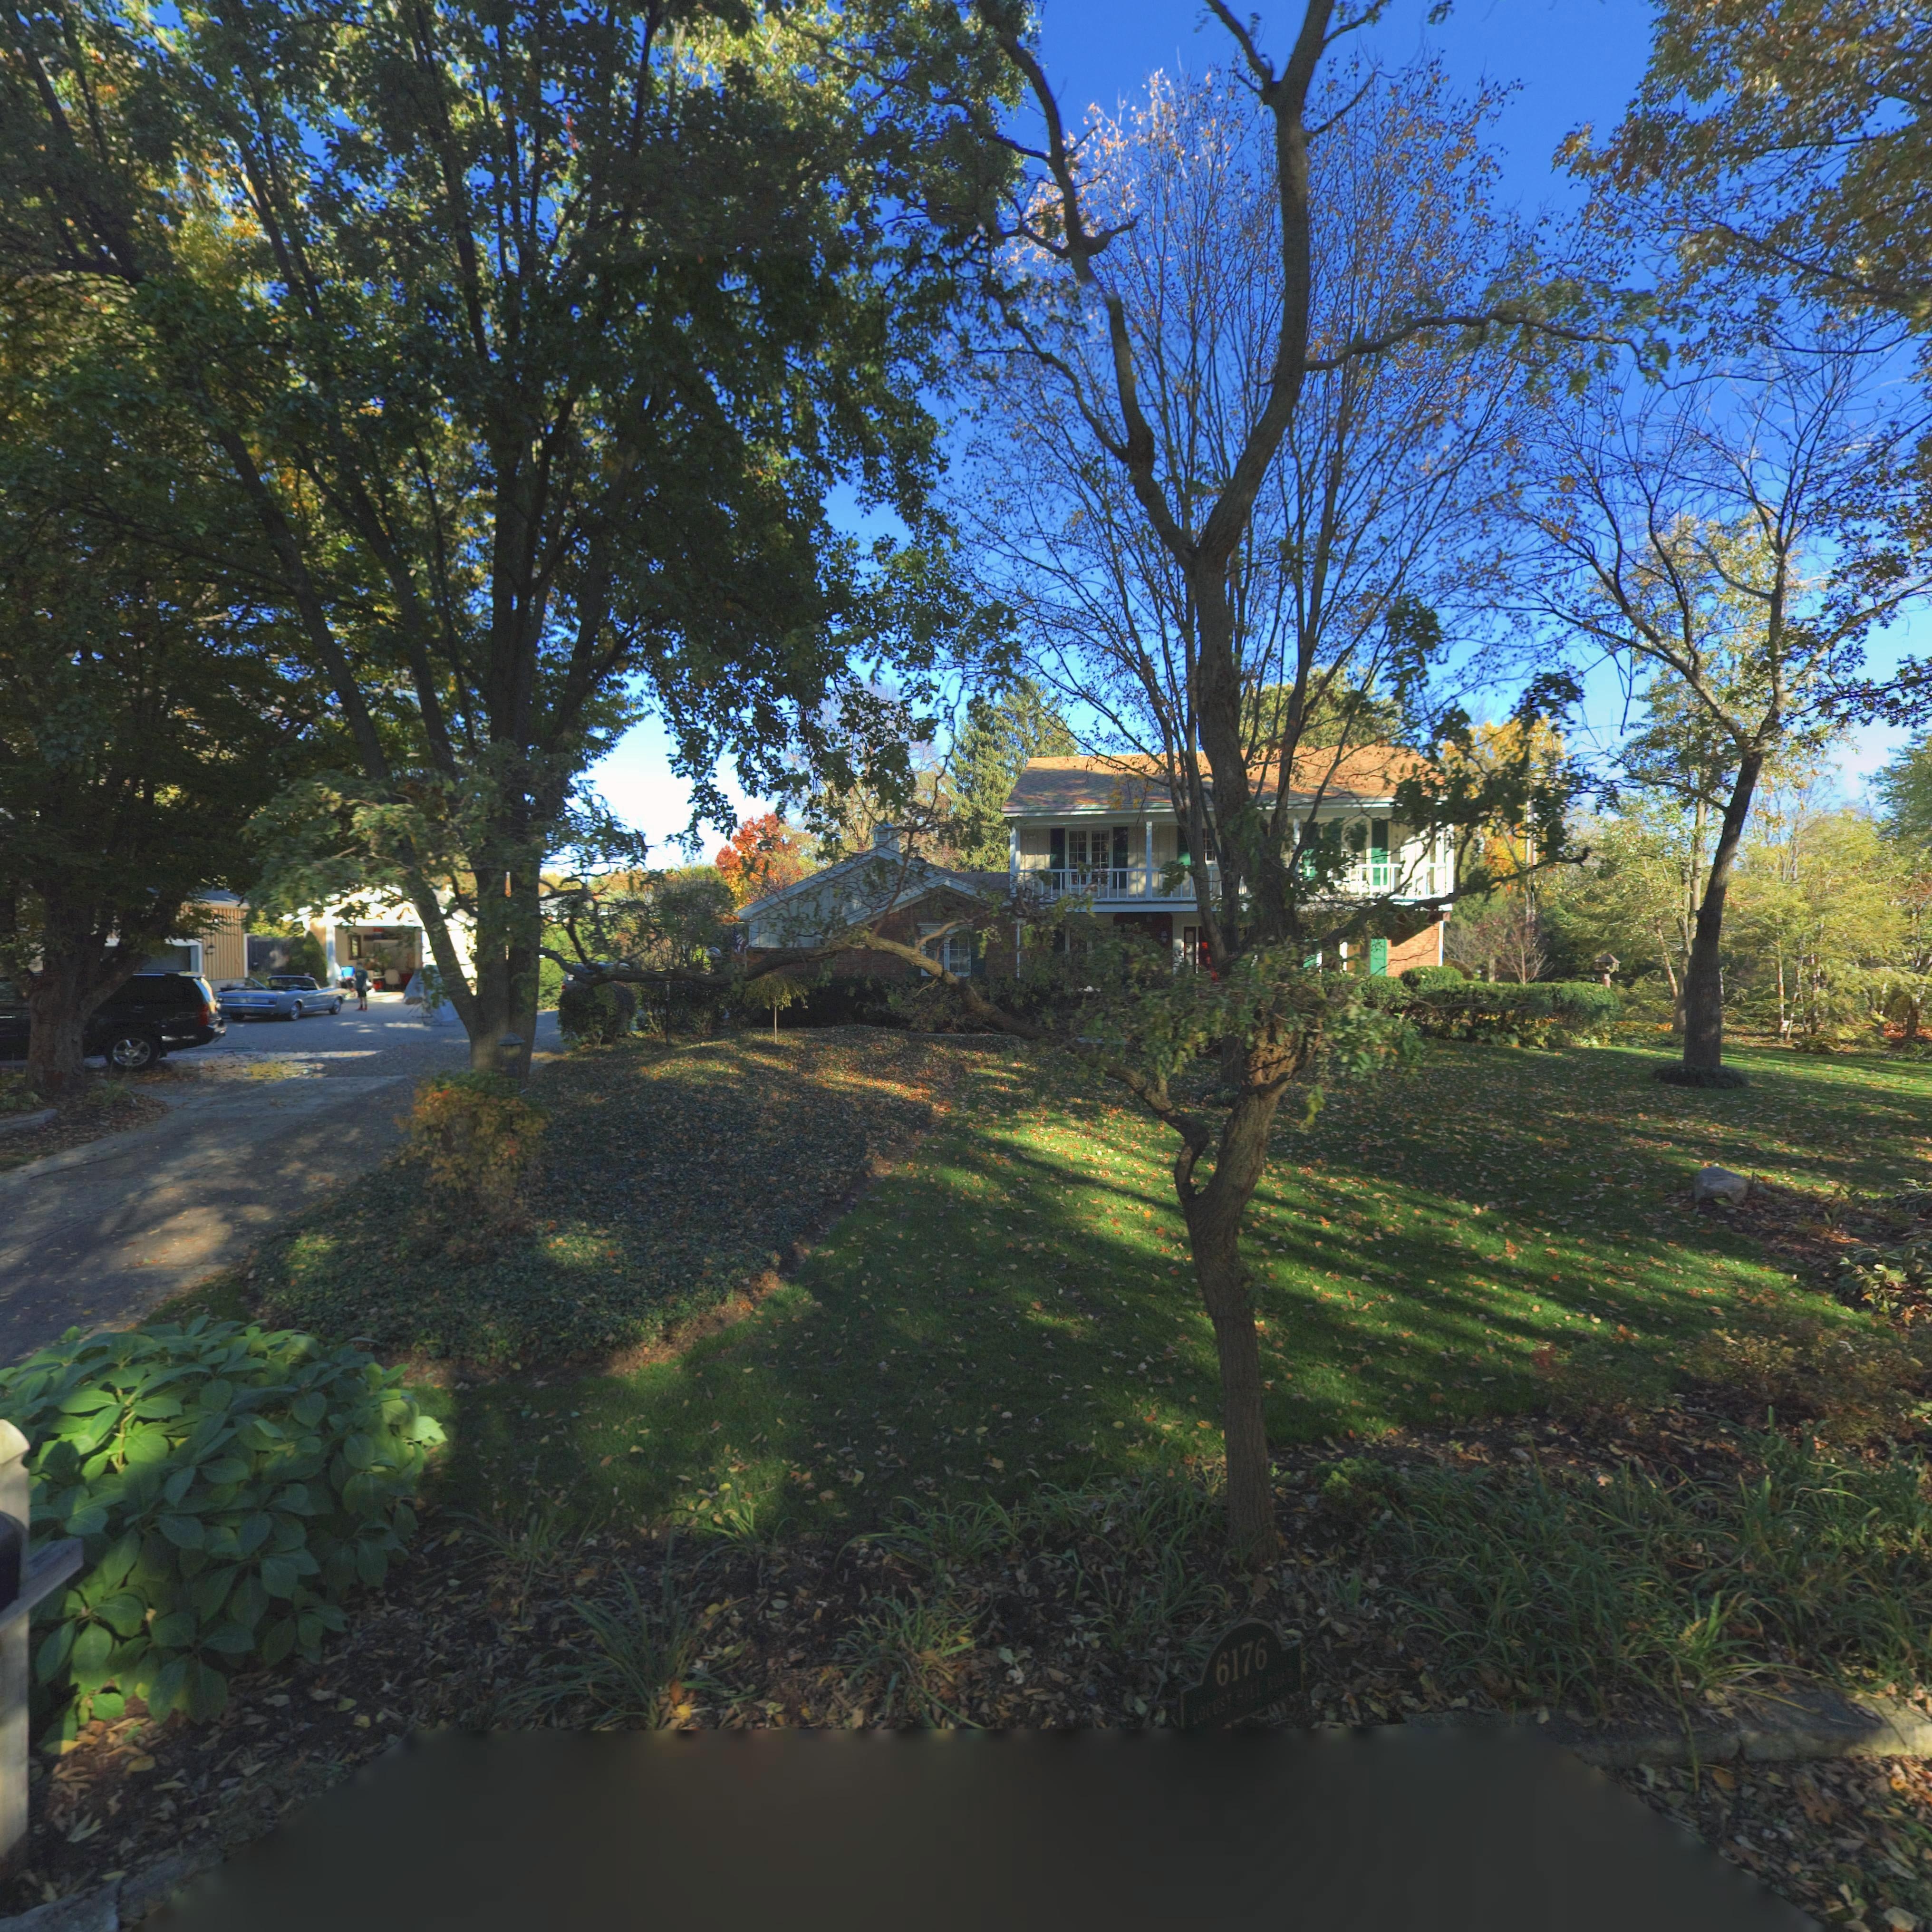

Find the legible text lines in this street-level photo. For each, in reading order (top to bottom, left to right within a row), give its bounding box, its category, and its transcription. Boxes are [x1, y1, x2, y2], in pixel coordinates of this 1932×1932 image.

[1213, 1633, 1272, 1690] StreetNumber: 6176
[1188, 1677, 1264, 1729] StreetName: LOCUST HILL